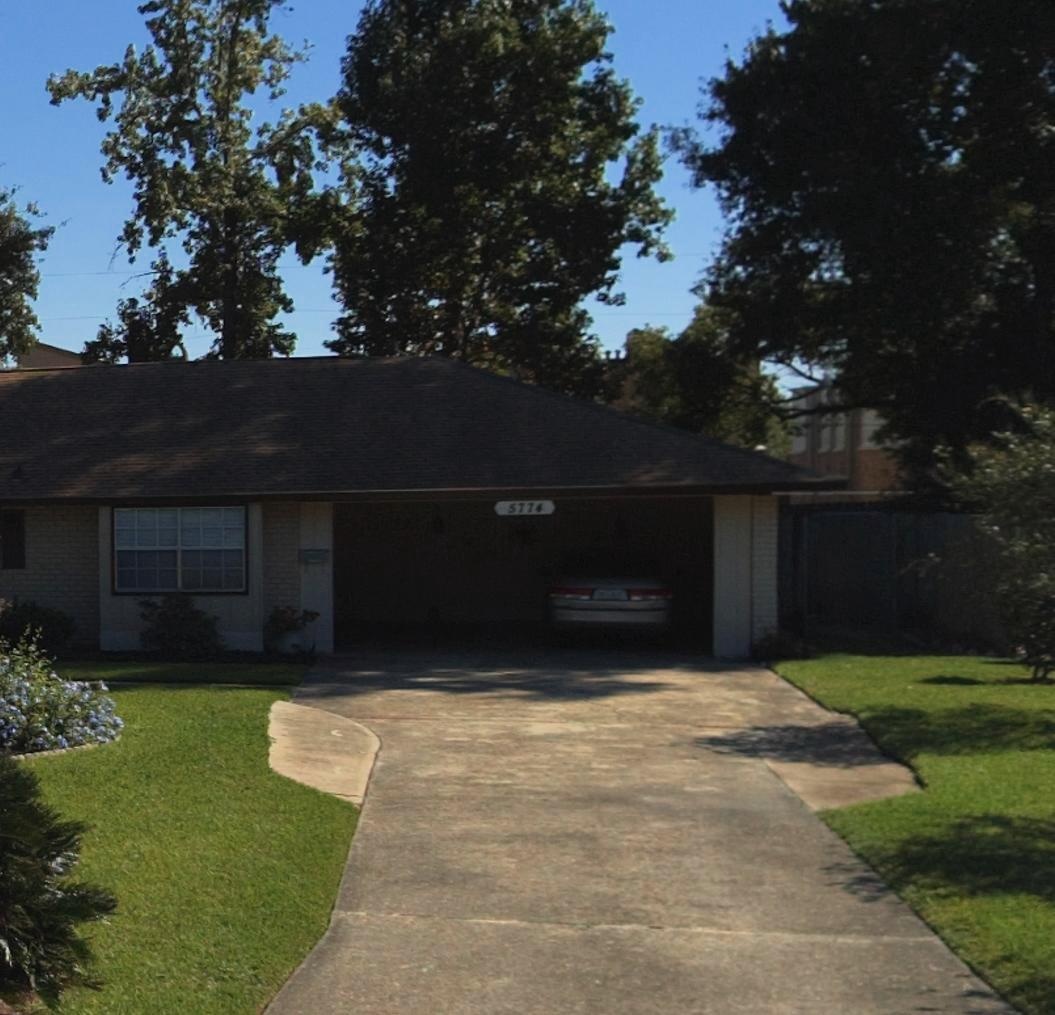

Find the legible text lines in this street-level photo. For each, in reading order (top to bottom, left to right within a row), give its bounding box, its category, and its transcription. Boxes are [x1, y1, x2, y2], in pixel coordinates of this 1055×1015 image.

[507, 500, 545, 515] StreetNumber: 5774